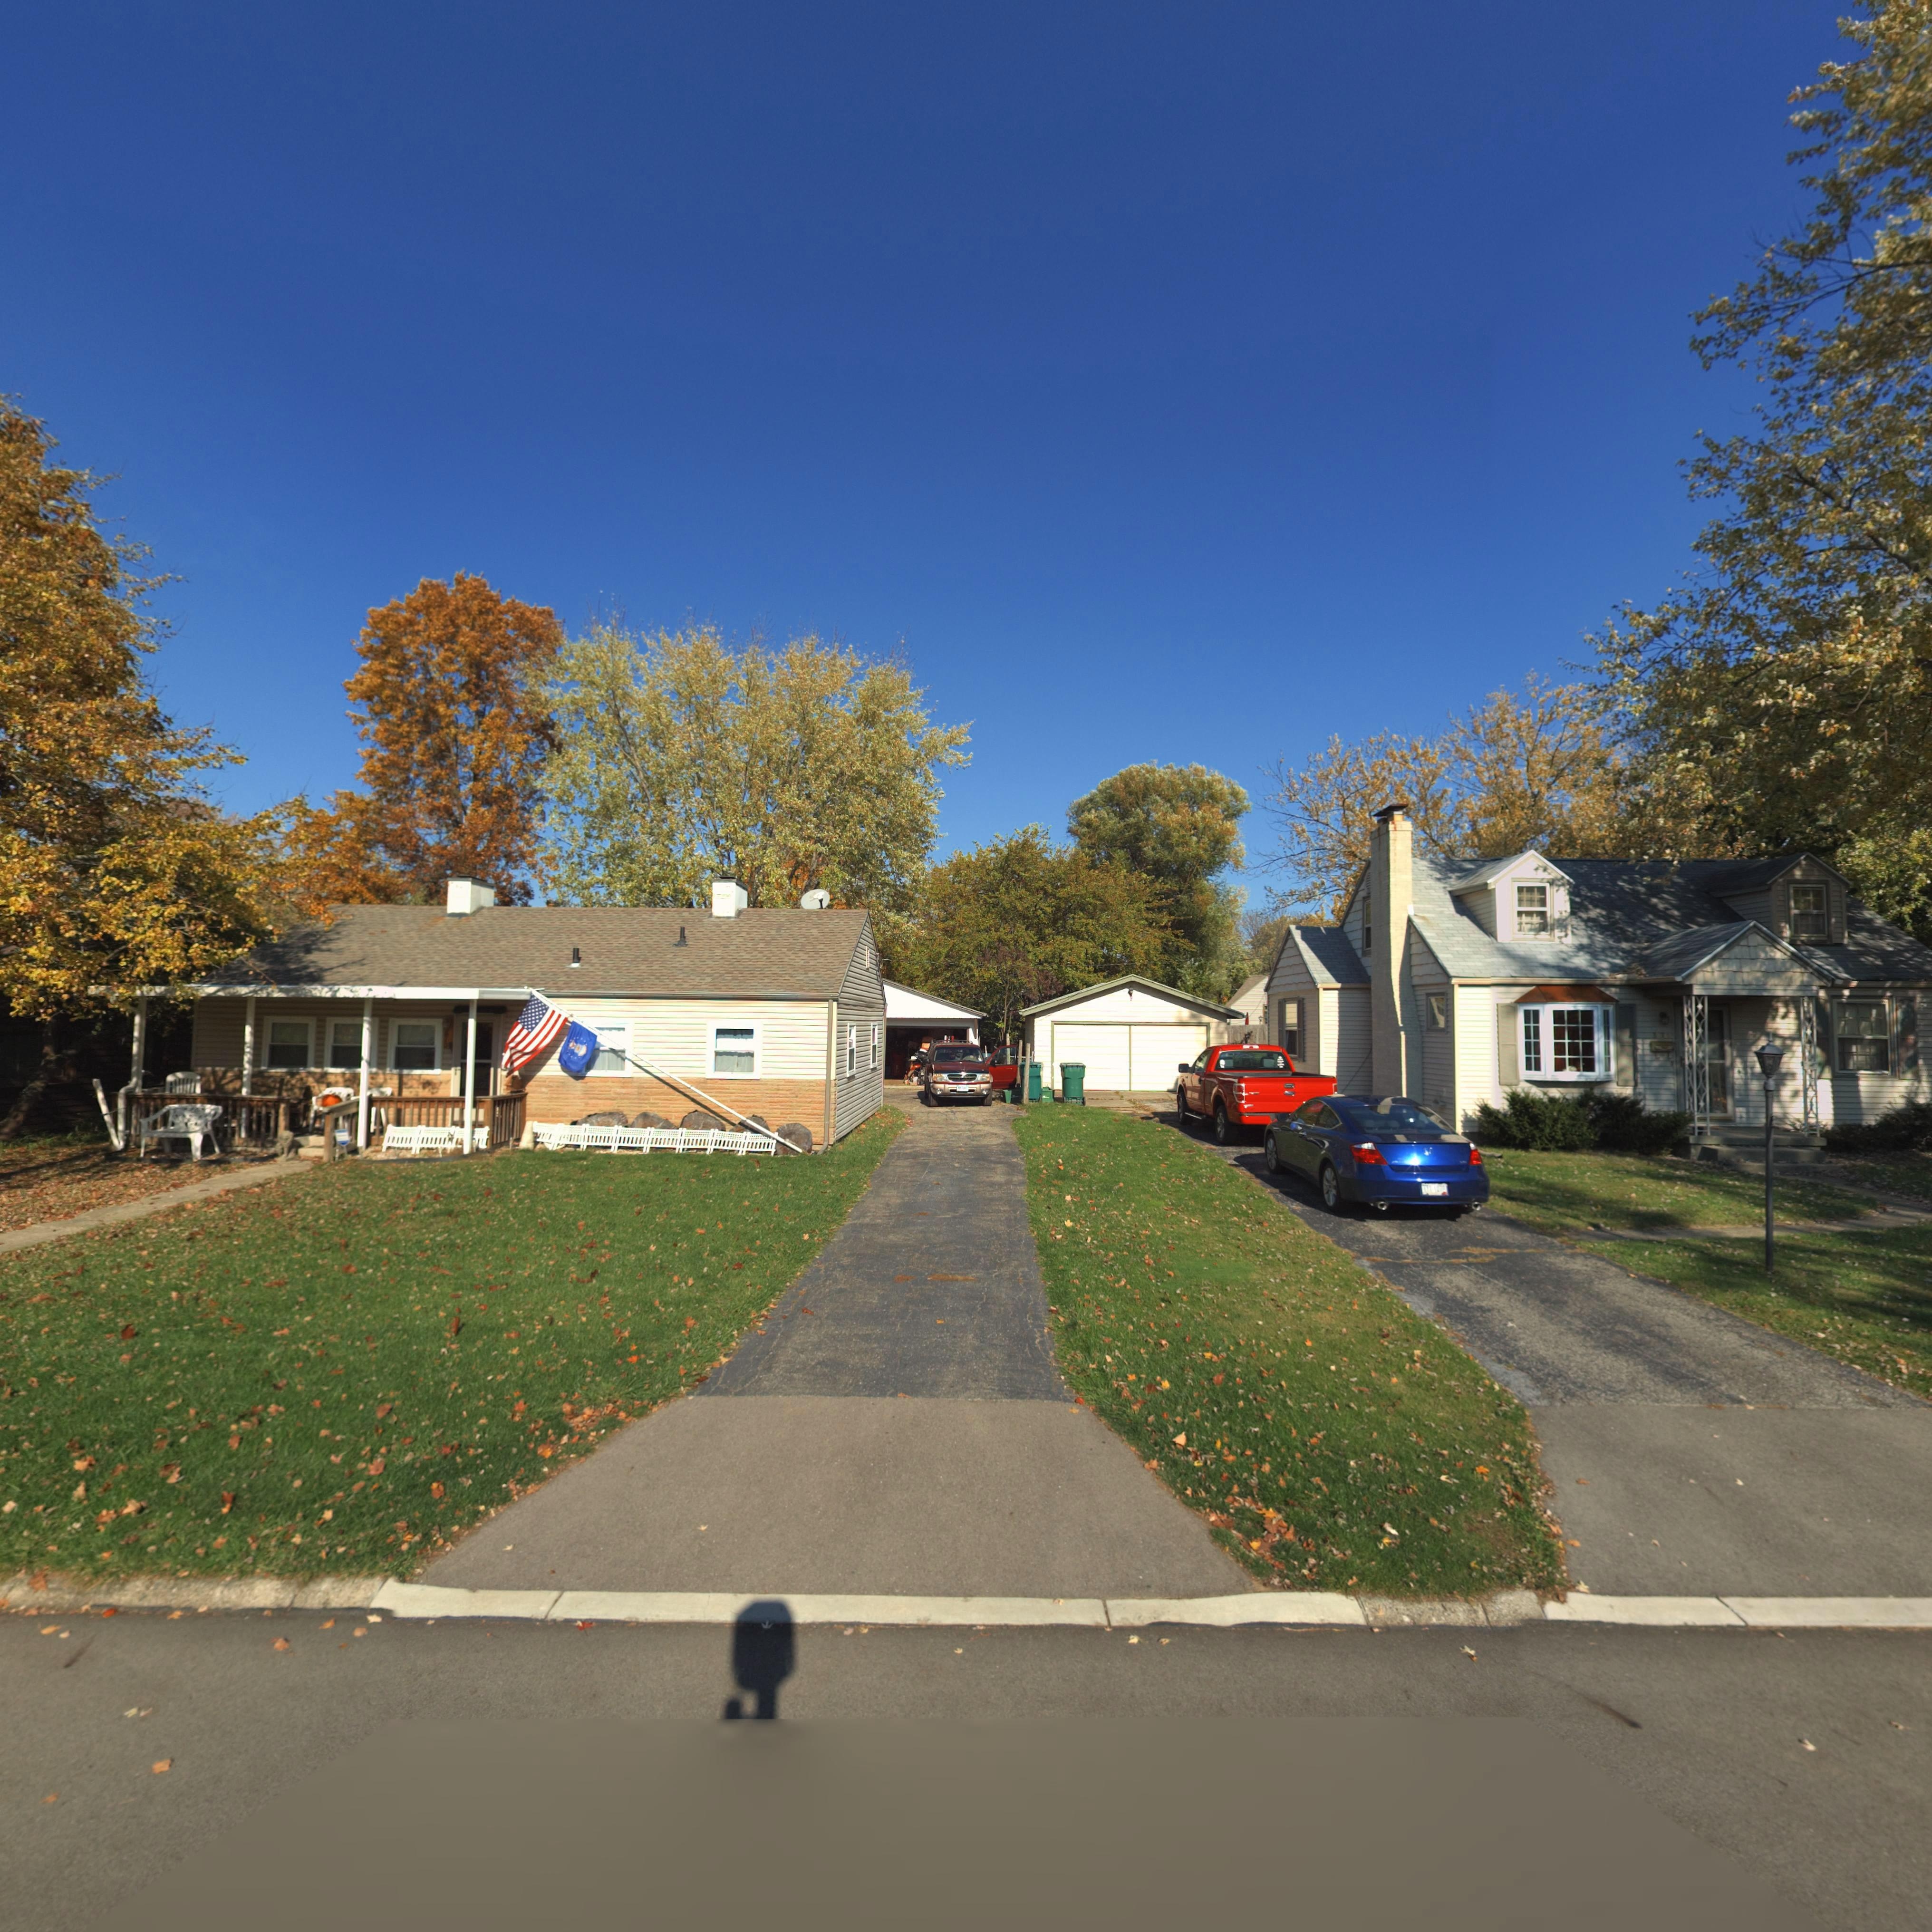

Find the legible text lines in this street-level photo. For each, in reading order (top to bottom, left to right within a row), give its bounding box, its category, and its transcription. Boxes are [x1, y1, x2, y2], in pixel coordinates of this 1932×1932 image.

[1652, 1031, 1657, 1039] StreetNumber: 3